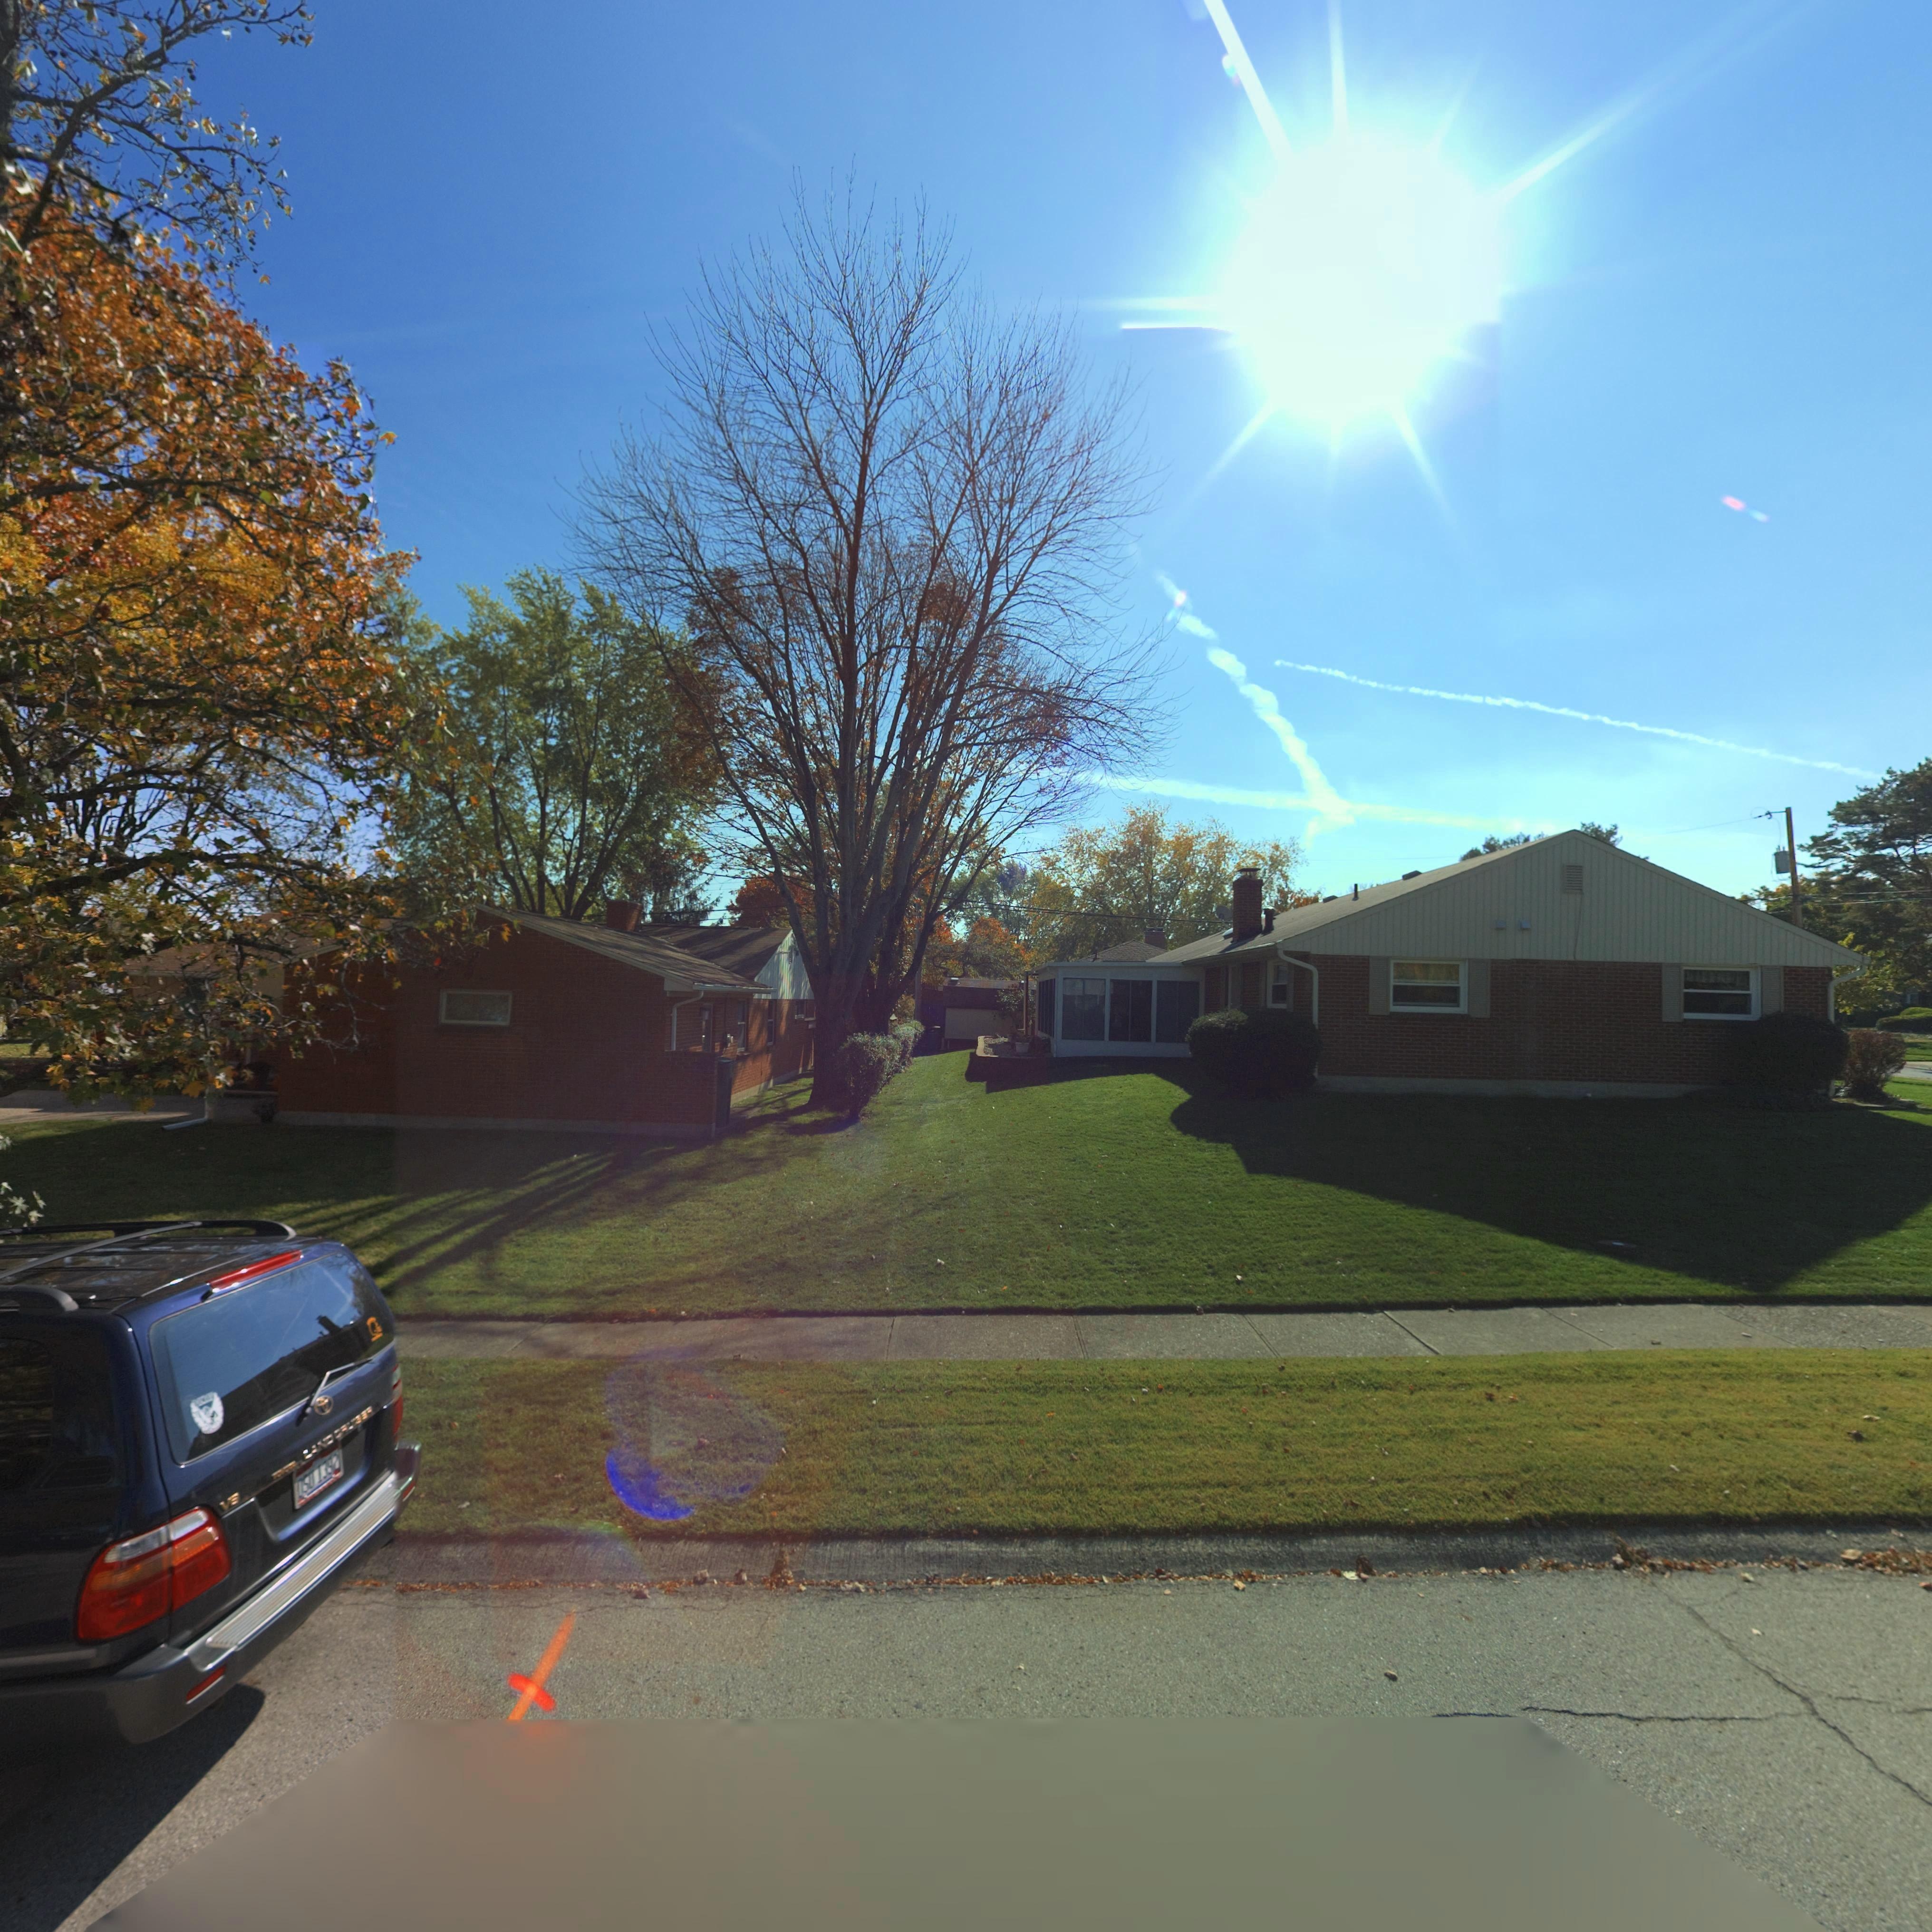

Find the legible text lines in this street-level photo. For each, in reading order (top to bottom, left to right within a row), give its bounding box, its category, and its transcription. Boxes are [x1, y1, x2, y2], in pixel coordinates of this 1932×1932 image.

[295, 1452, 341, 1502] None: OSU1392